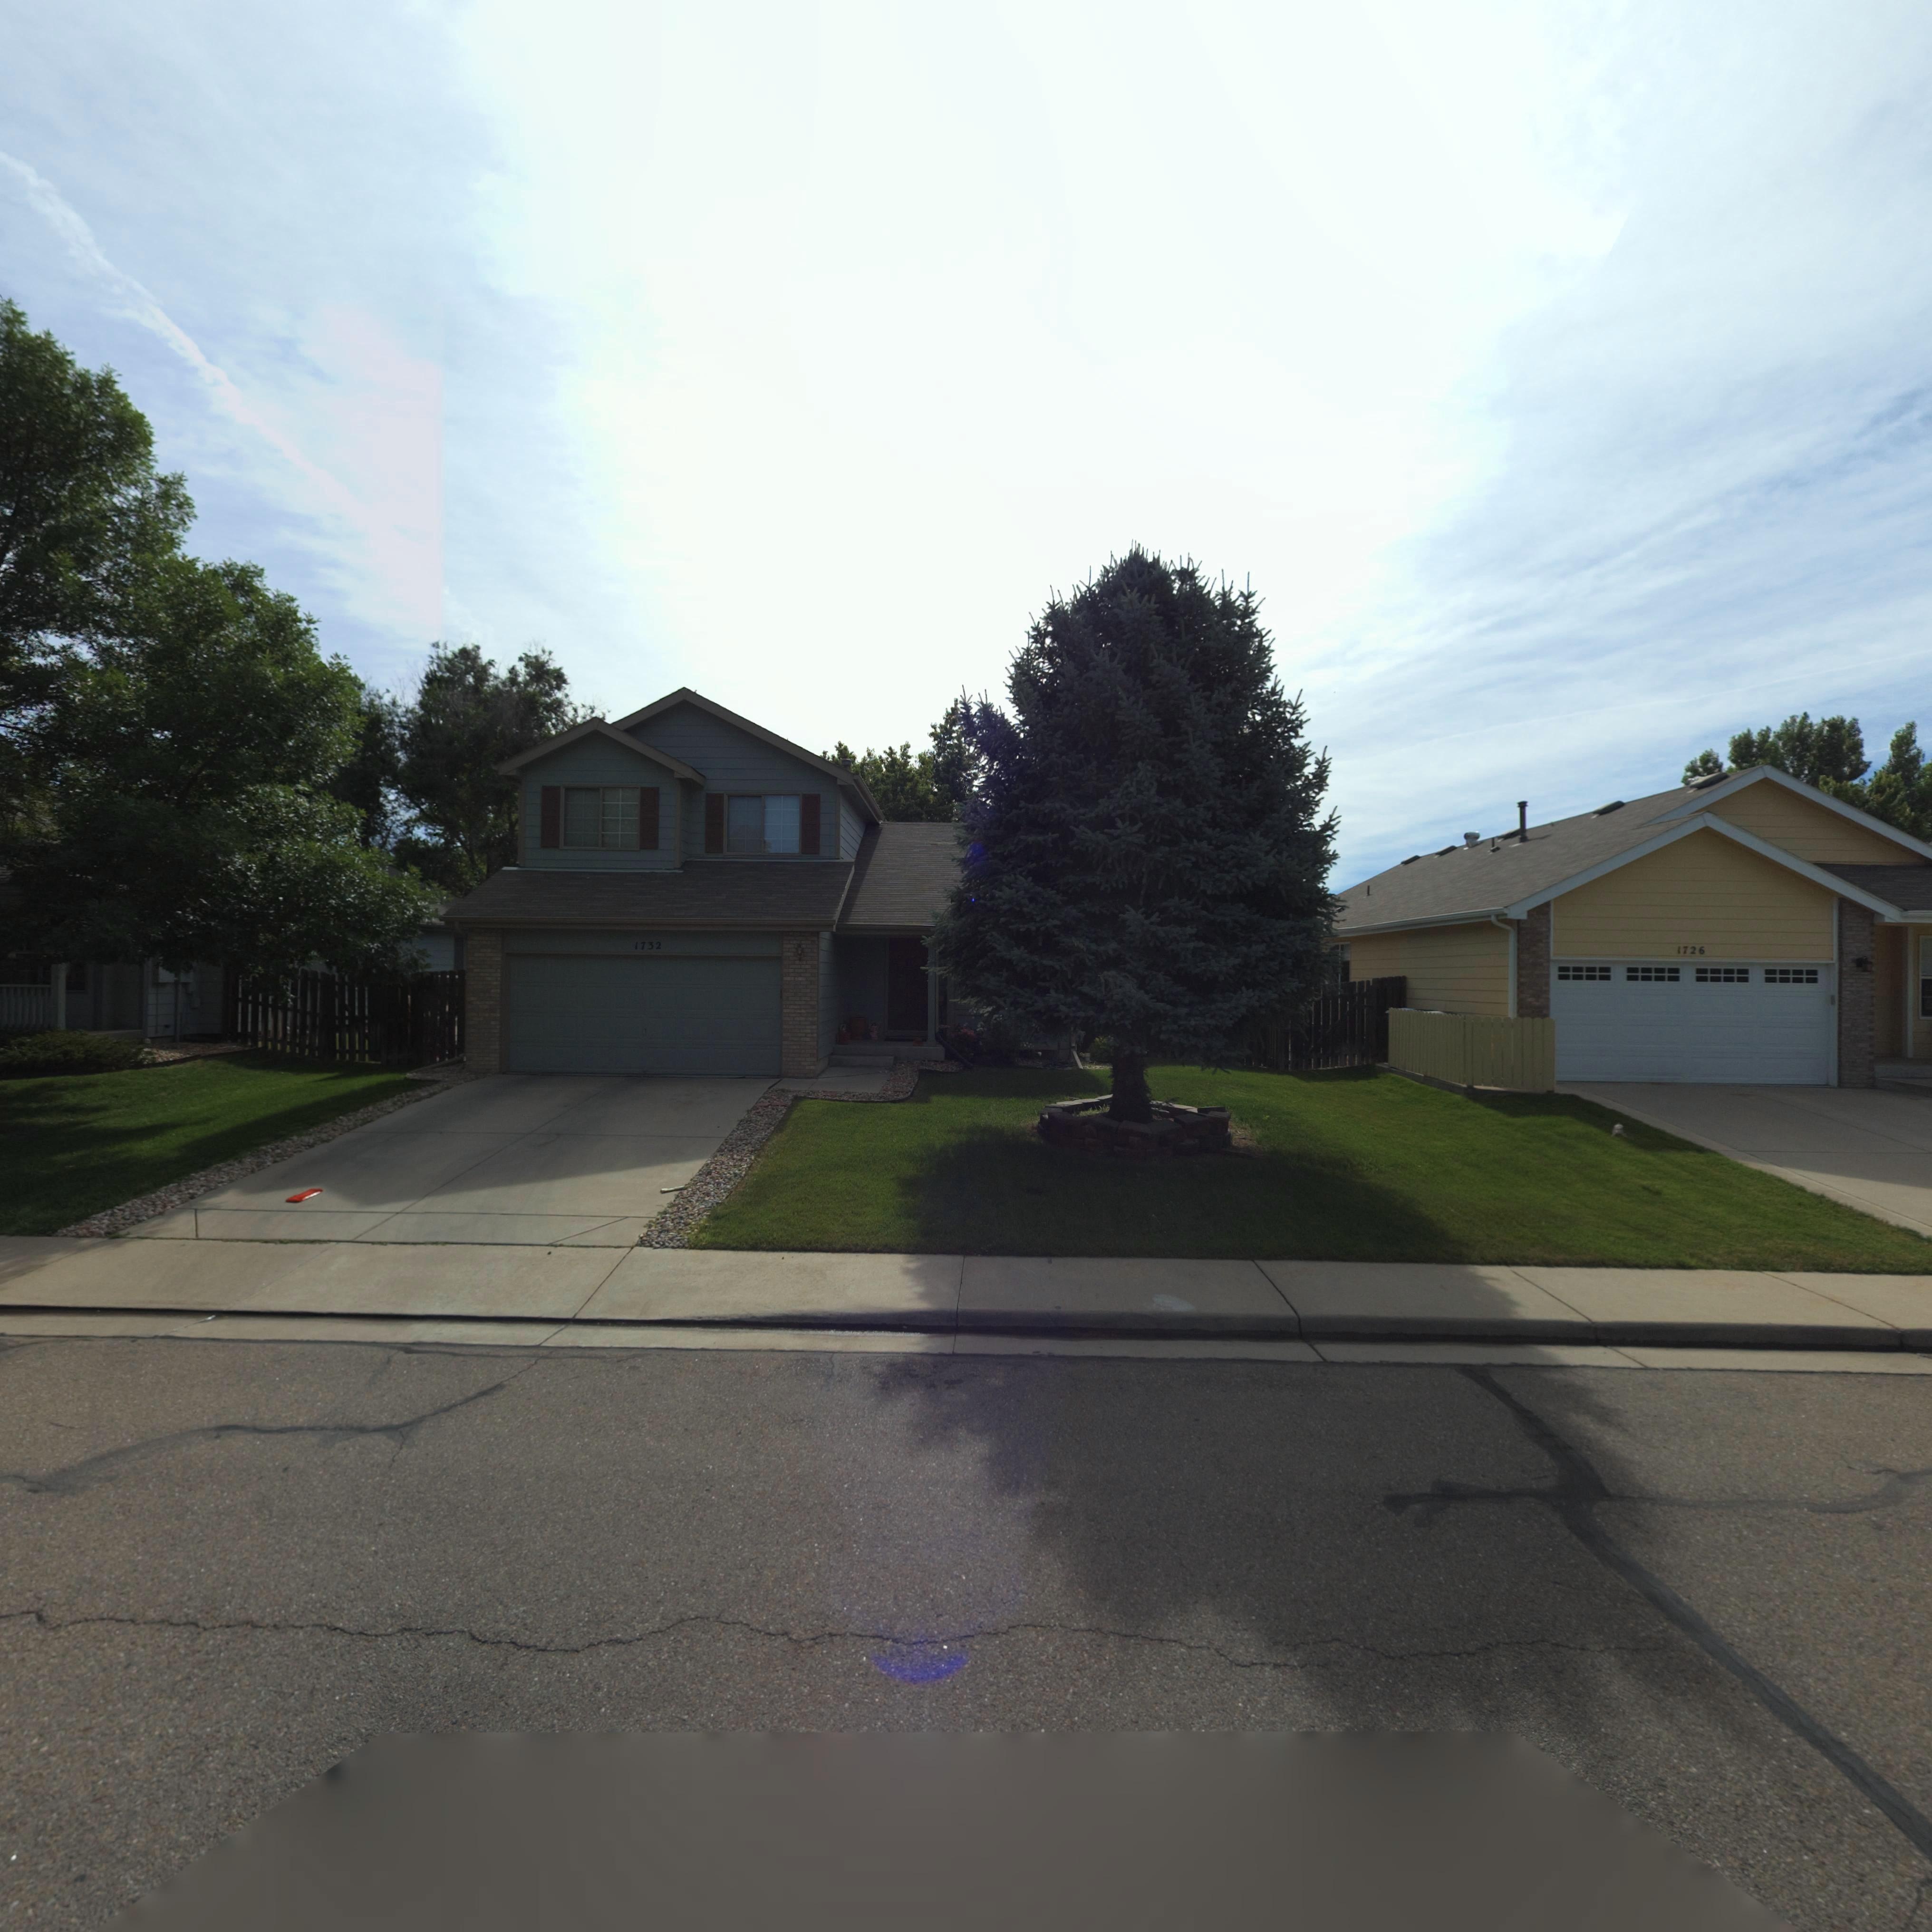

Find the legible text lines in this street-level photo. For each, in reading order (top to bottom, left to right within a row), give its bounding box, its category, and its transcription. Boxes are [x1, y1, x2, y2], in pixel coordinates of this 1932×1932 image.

[634, 940, 662, 950] StreetNumber: 1732
[1677, 946, 1706, 955] StreetNumber: 1726